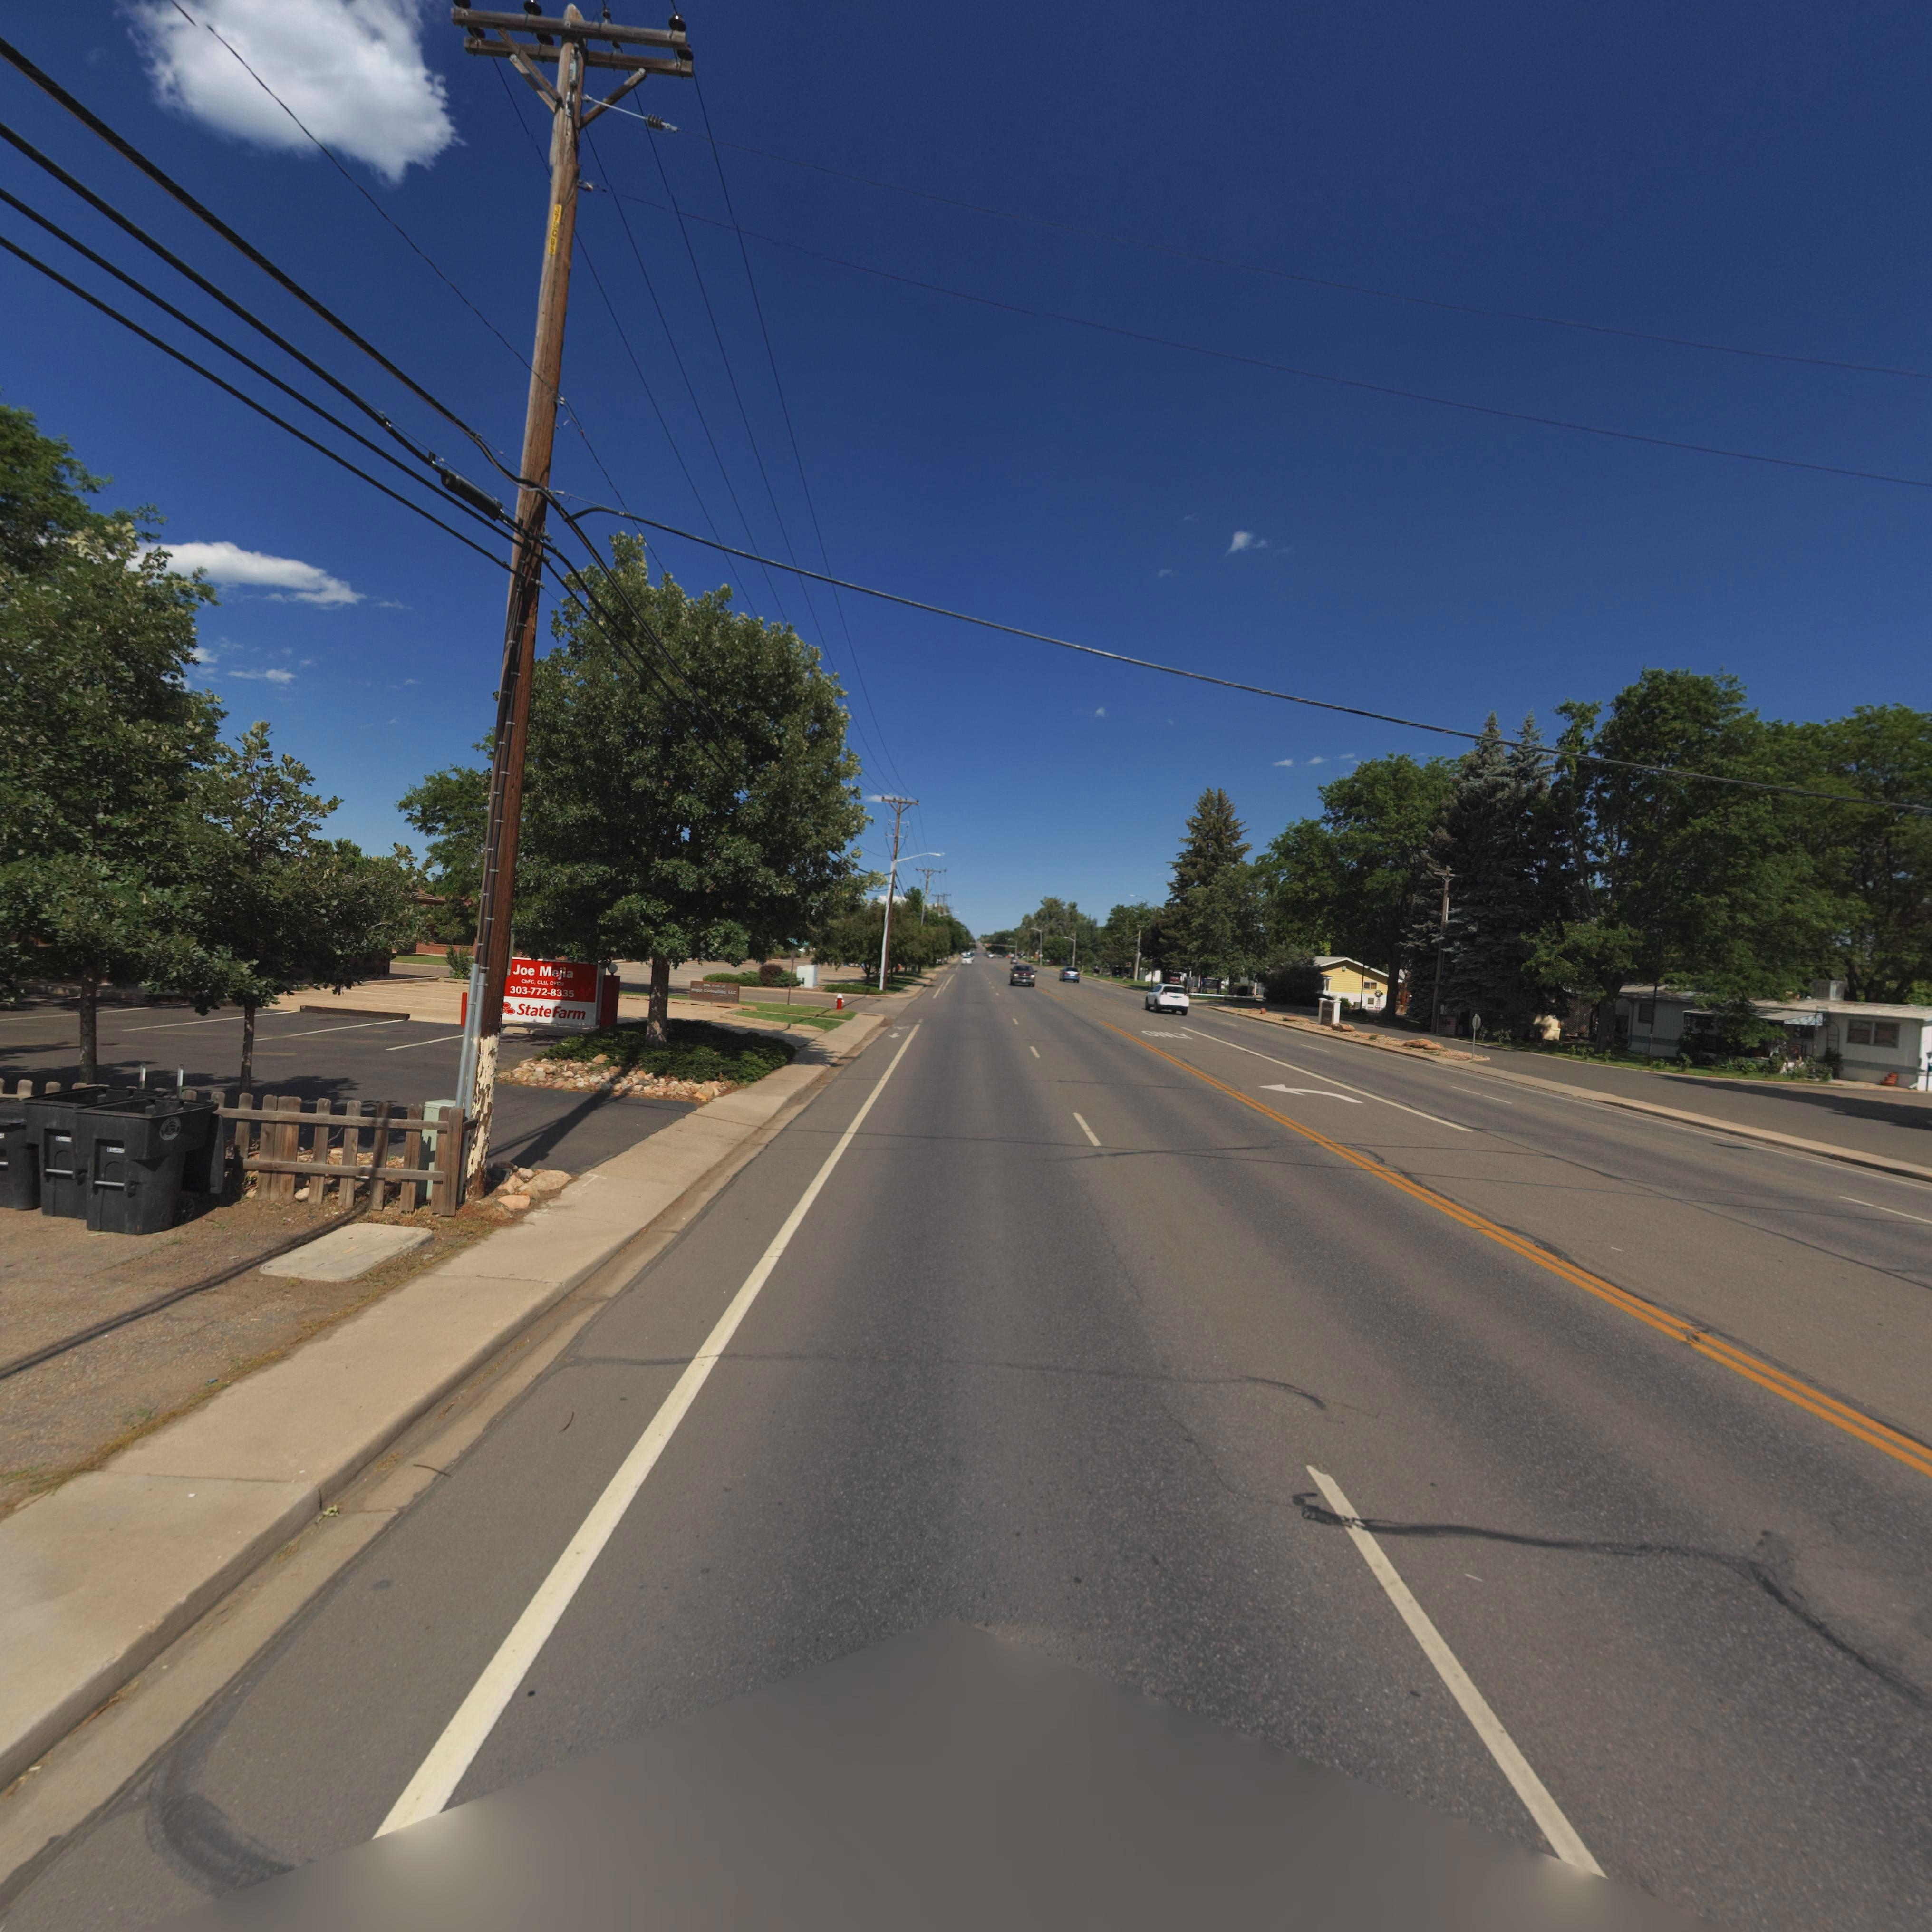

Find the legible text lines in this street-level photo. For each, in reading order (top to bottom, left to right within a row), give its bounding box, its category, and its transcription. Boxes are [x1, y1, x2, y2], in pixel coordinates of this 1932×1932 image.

[703, 984, 726, 988] BusinessName: C*A *** o*
[691, 987, 737, 995] BusinessName: *opp Co*******g, LLC
[516, 1002, 587, 1021] BusinessName: State Farm